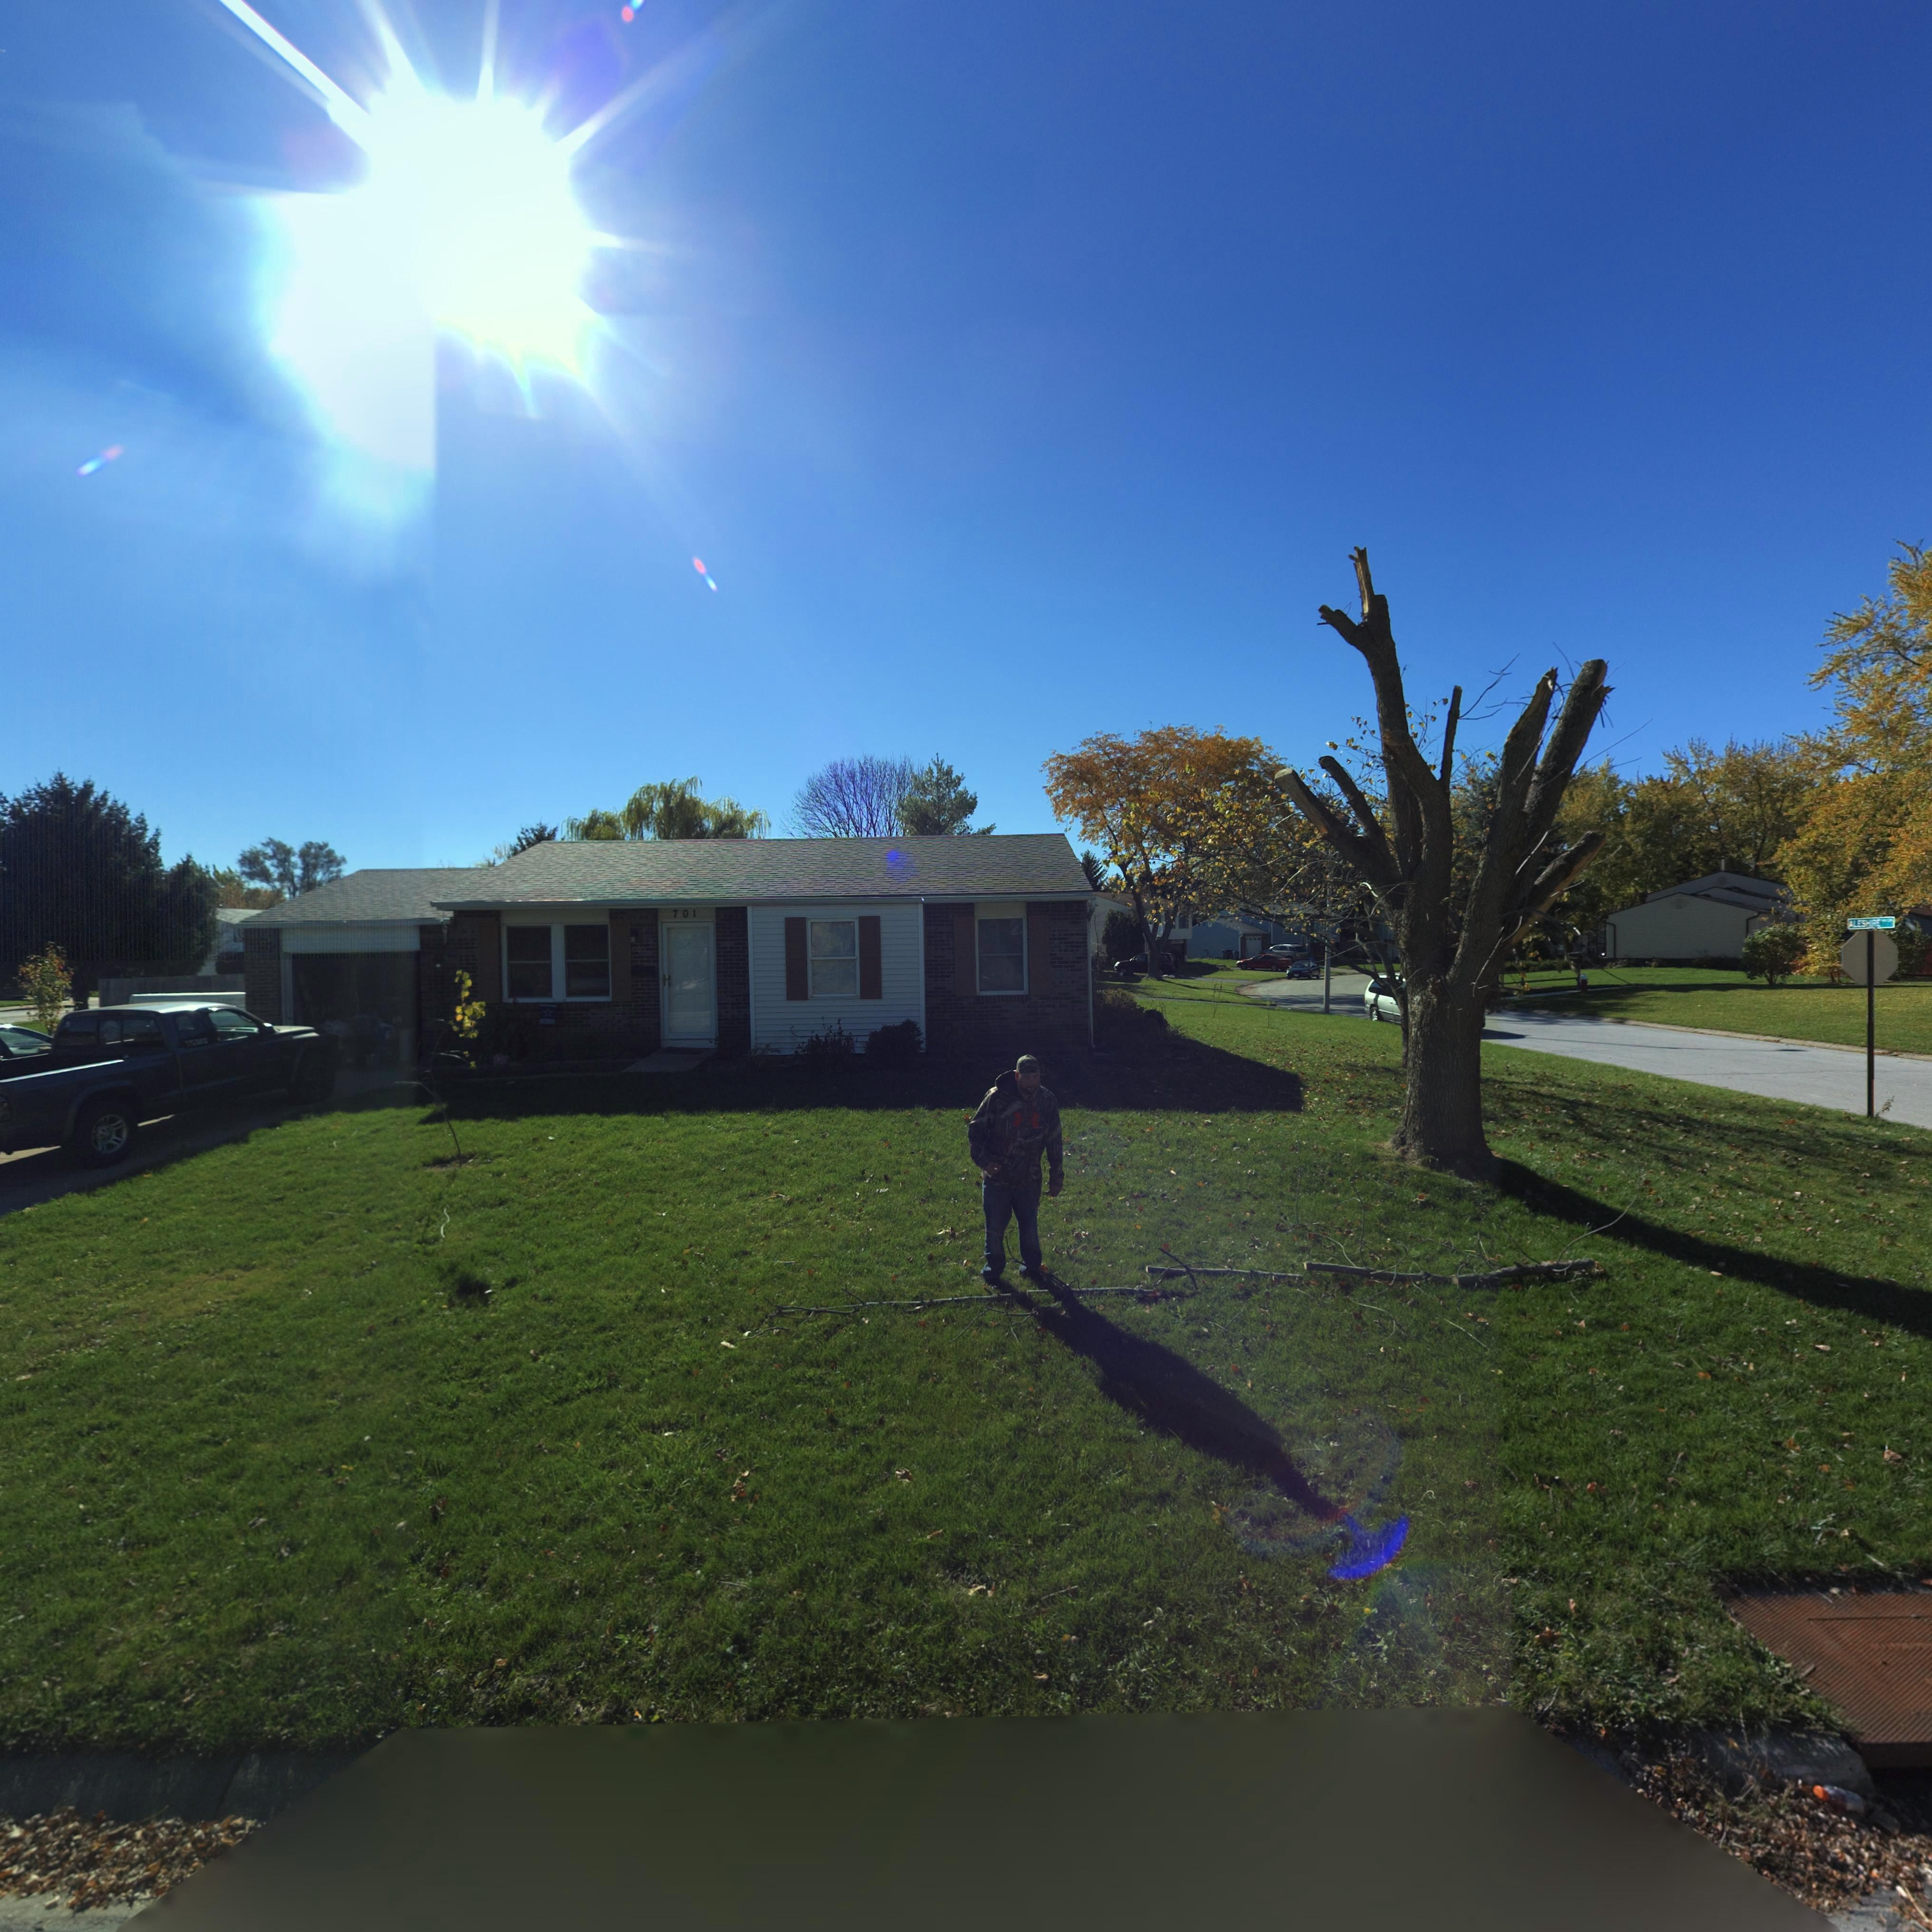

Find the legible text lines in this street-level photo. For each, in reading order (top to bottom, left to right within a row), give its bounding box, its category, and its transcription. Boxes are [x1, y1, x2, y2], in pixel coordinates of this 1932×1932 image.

[672, 908, 696, 918] StreetNumber: 701
[1847, 918, 1881, 929] None: *lesh**E